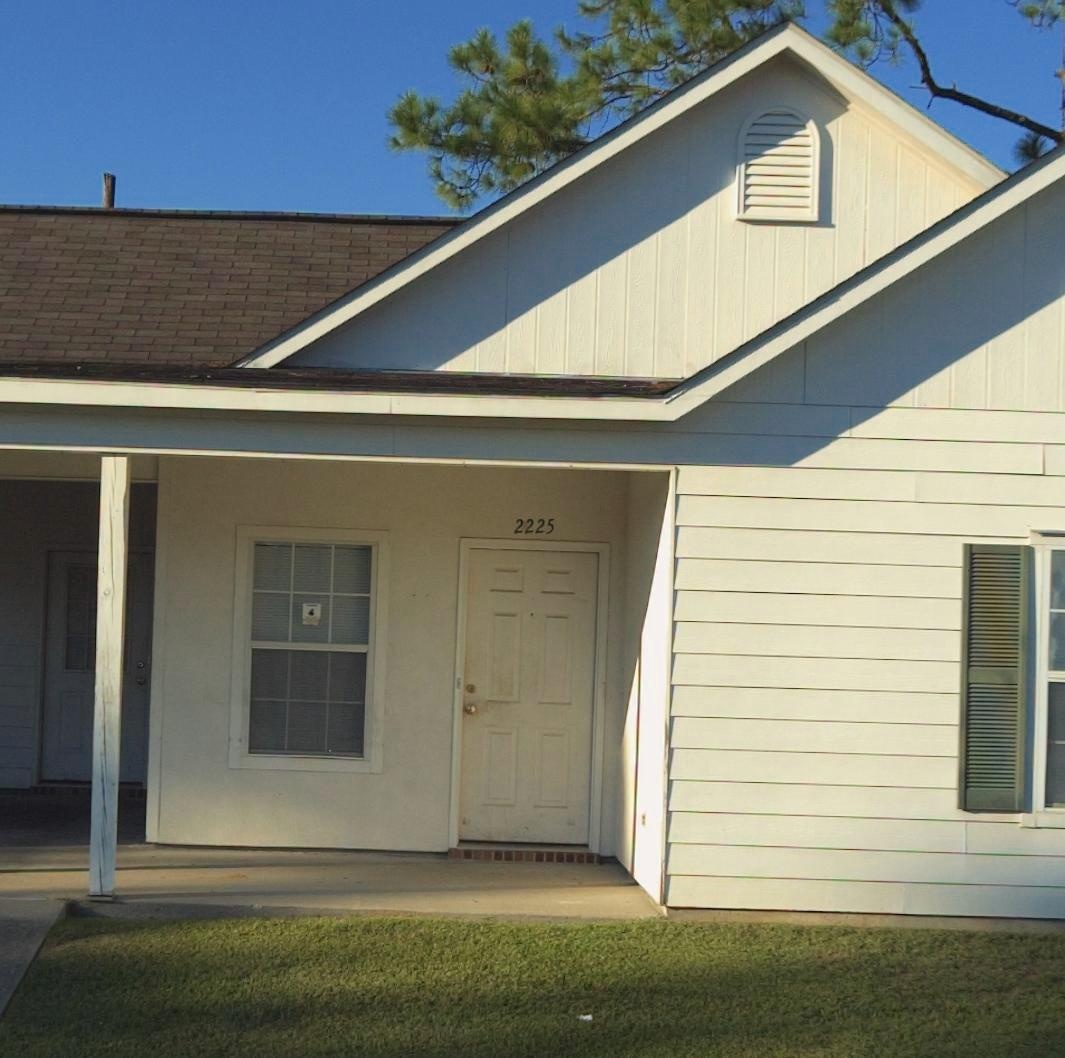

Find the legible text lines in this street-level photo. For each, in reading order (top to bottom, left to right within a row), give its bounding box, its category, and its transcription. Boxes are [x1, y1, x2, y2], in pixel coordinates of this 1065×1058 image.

[512, 516, 556, 536] StreetNumber: 2225